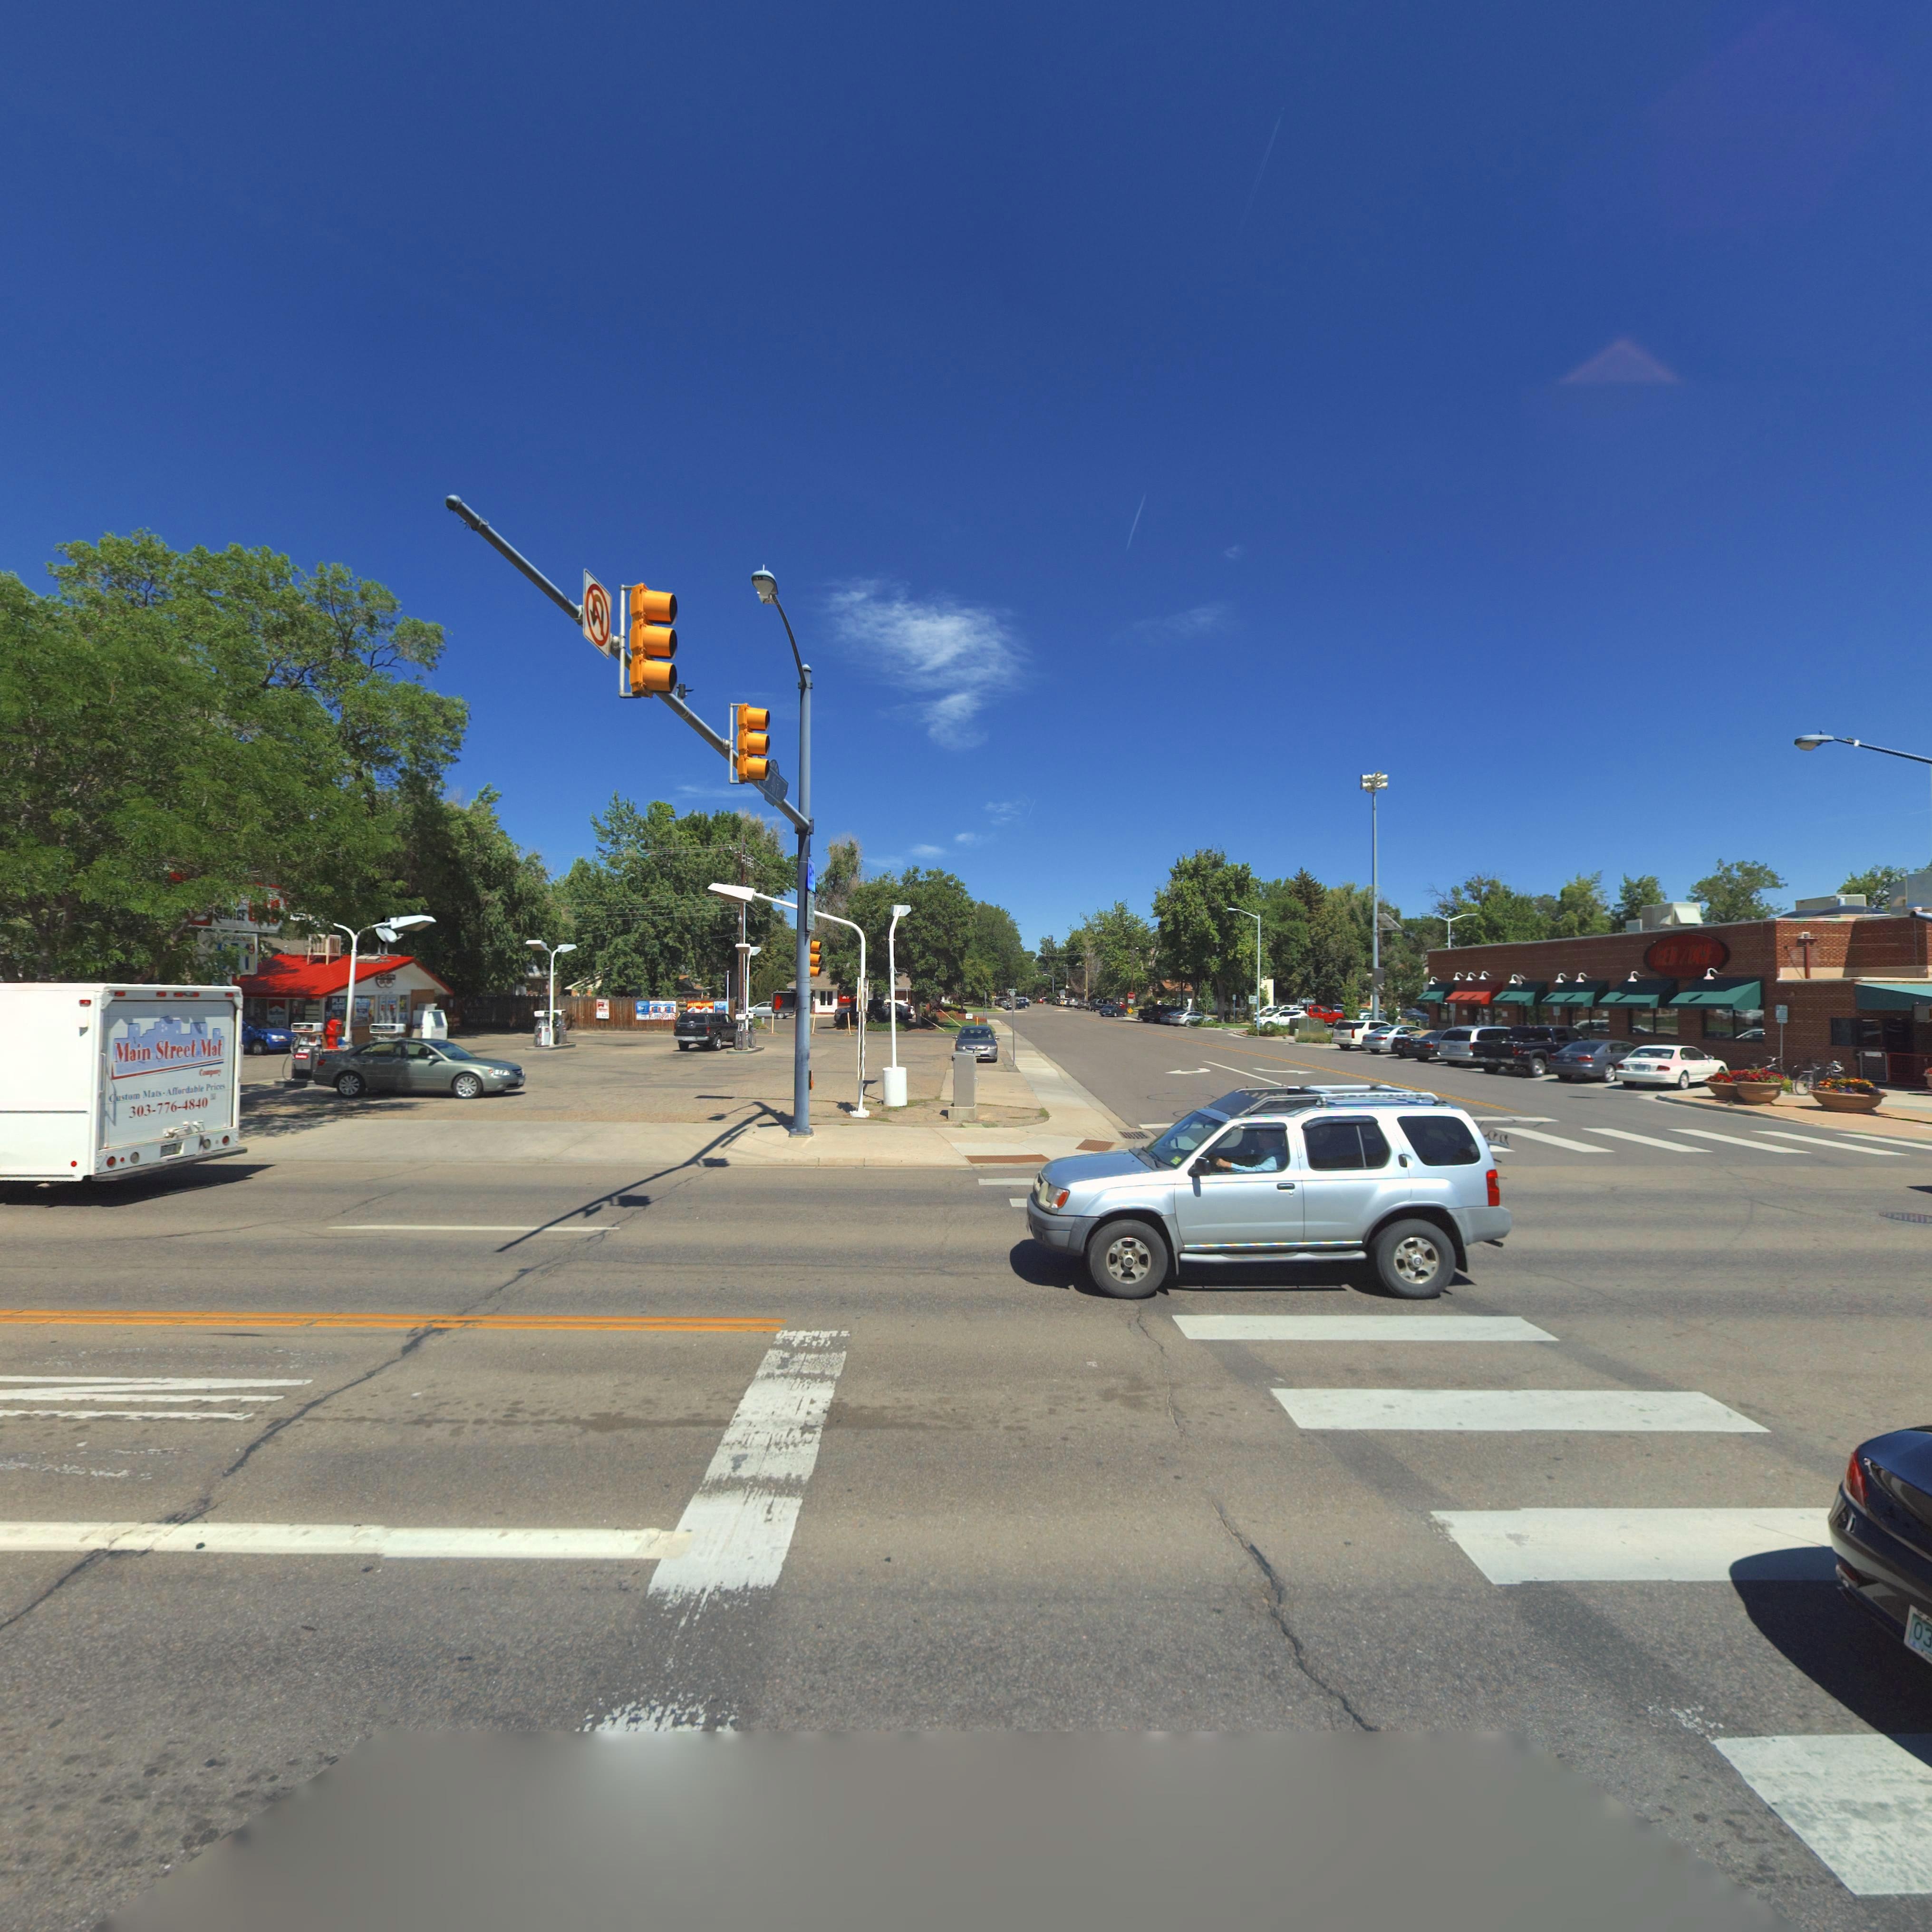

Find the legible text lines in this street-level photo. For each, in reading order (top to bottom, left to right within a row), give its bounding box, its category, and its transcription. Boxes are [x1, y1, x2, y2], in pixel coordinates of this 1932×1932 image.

[769, 775, 781, 798] StreetName: AVE
[1653, 942, 1715, 966] BusinessName: *ED ZO**